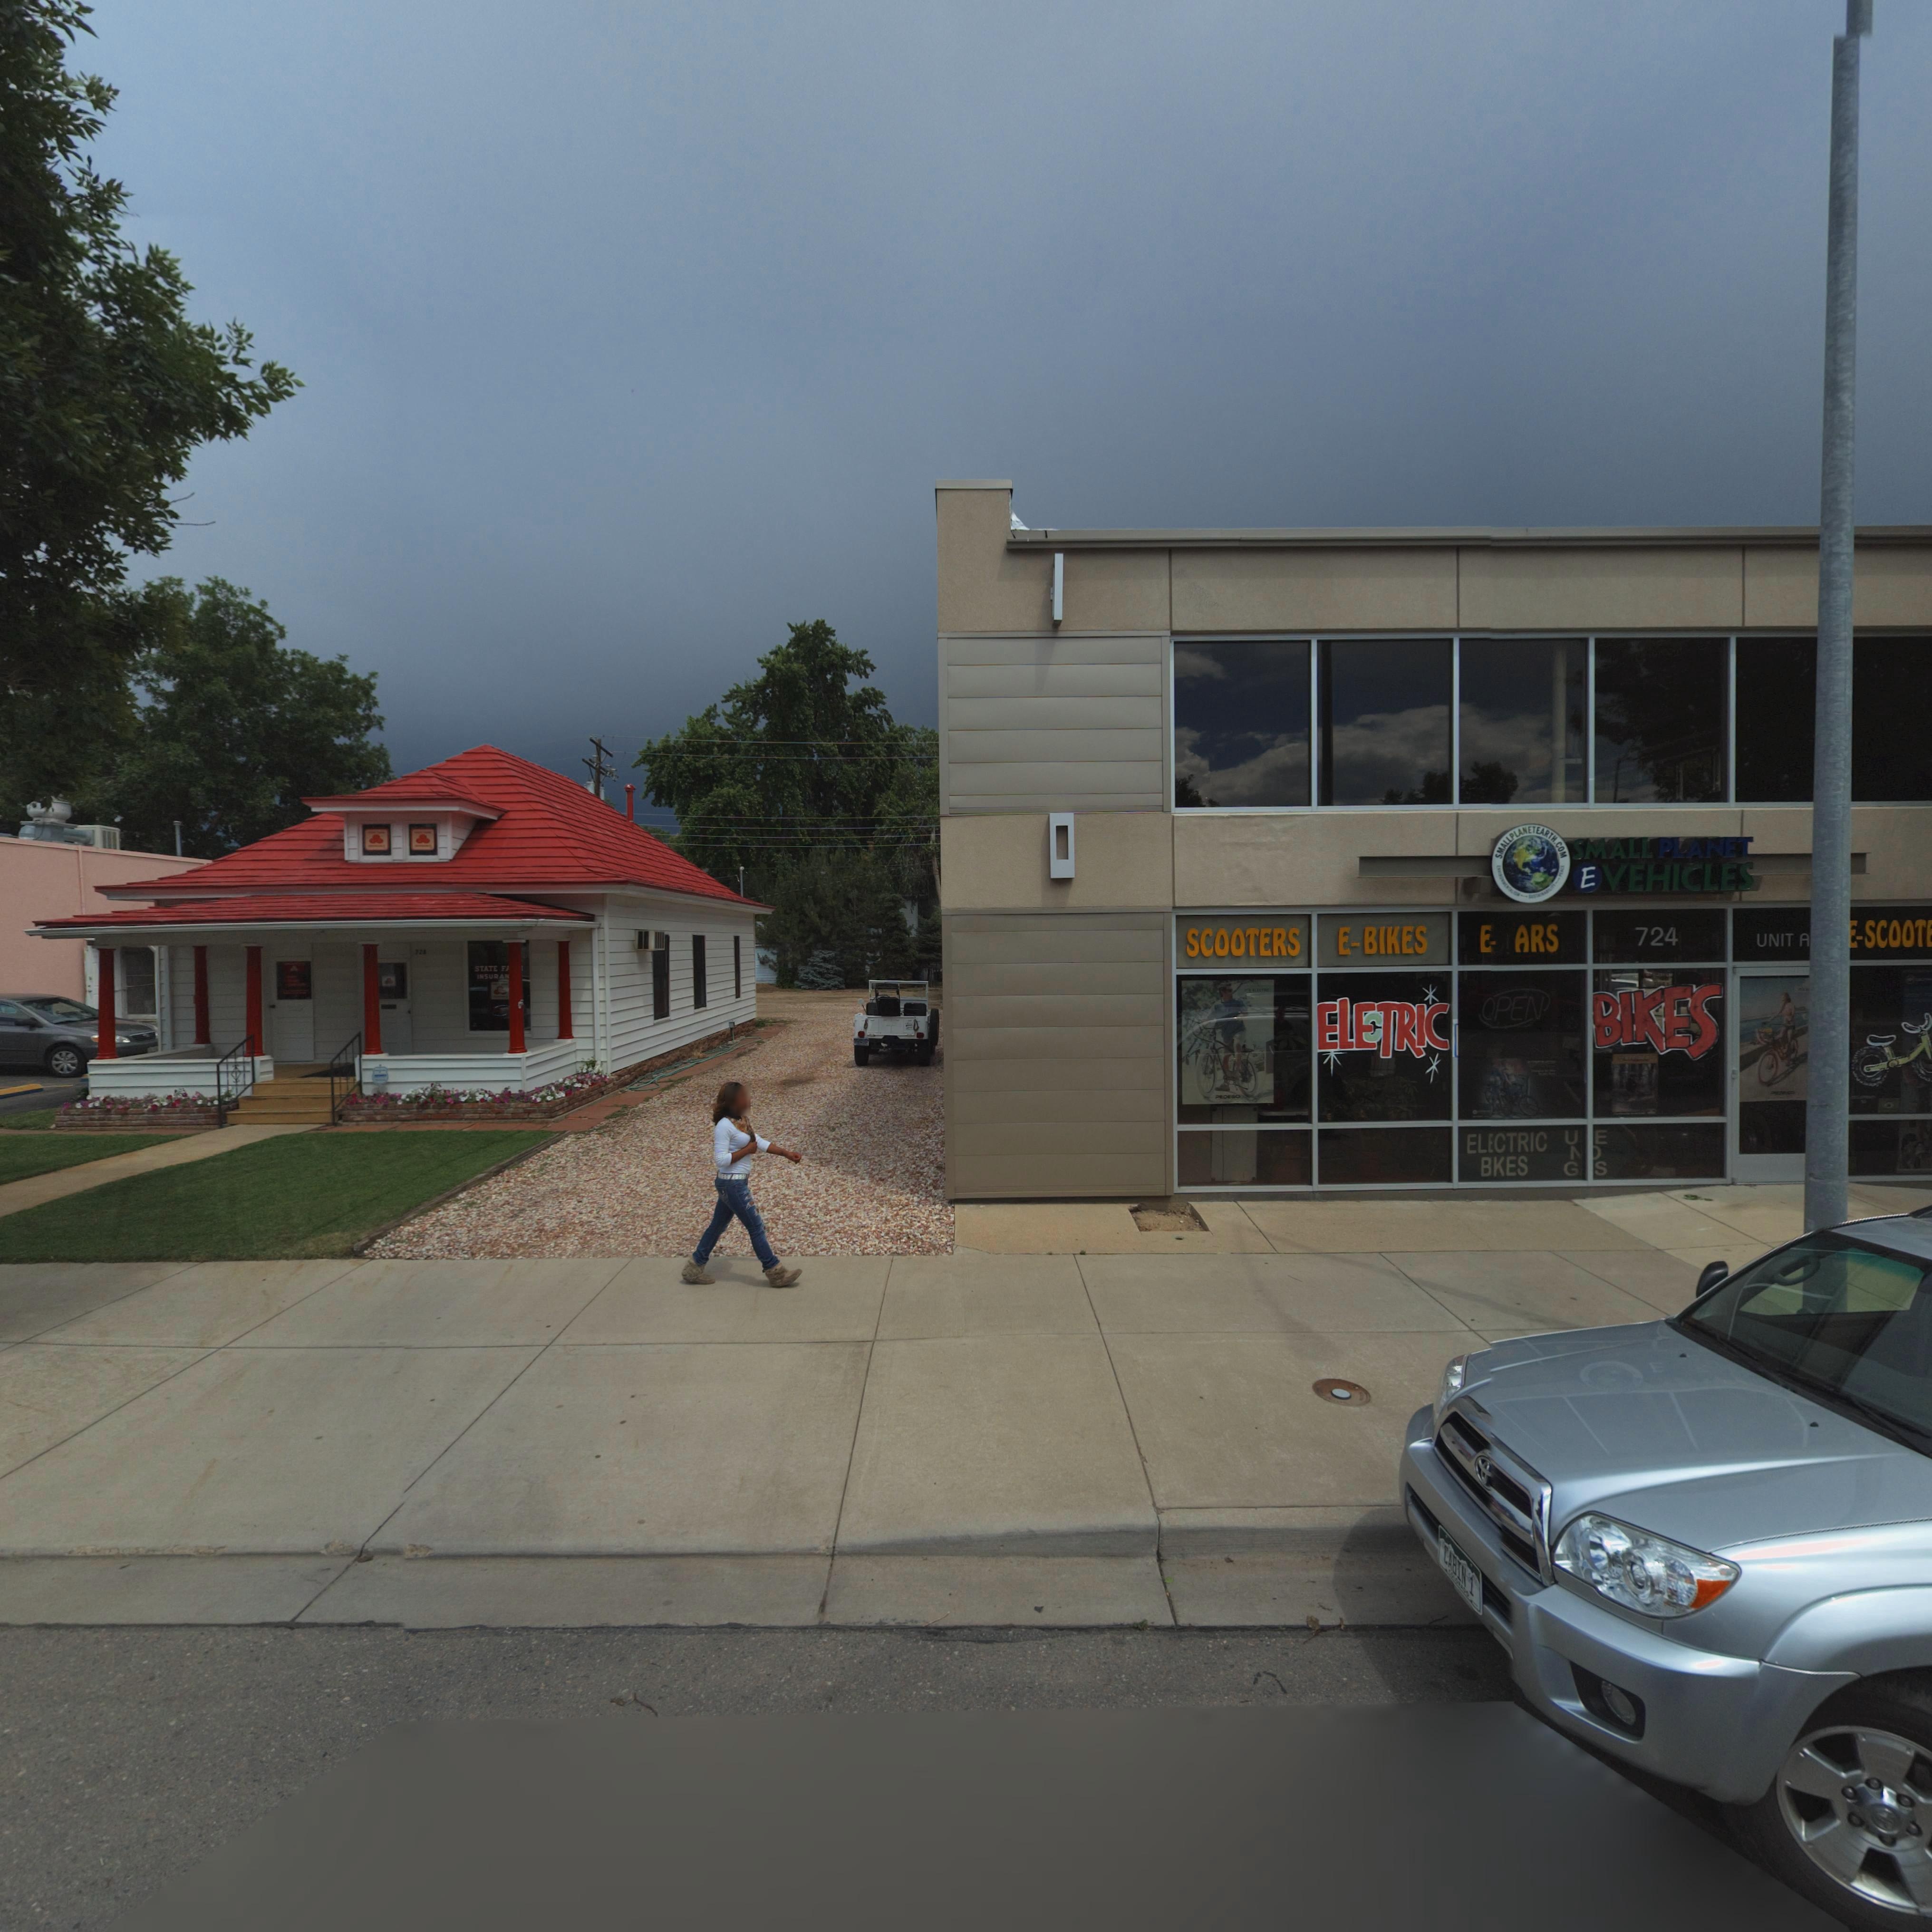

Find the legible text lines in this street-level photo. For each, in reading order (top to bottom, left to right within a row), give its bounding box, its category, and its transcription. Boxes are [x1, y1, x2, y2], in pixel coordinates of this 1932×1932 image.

[1572, 836, 1754, 860] BusinessName: SMALL PLANET
[1581, 861, 1756, 893] BusinessName: EVEHICLES
[1634, 927, 1679, 946] StreetNumber: 724
[1756, 933, 1809, 947] SecondaryUnitDesignator: UNIT A
[414, 949, 427, 955] StreetNumber: 72*
[474, 965, 523, 972] BusinessName: STATE F***
[477, 974, 509, 979] BusinessName: INSURAN